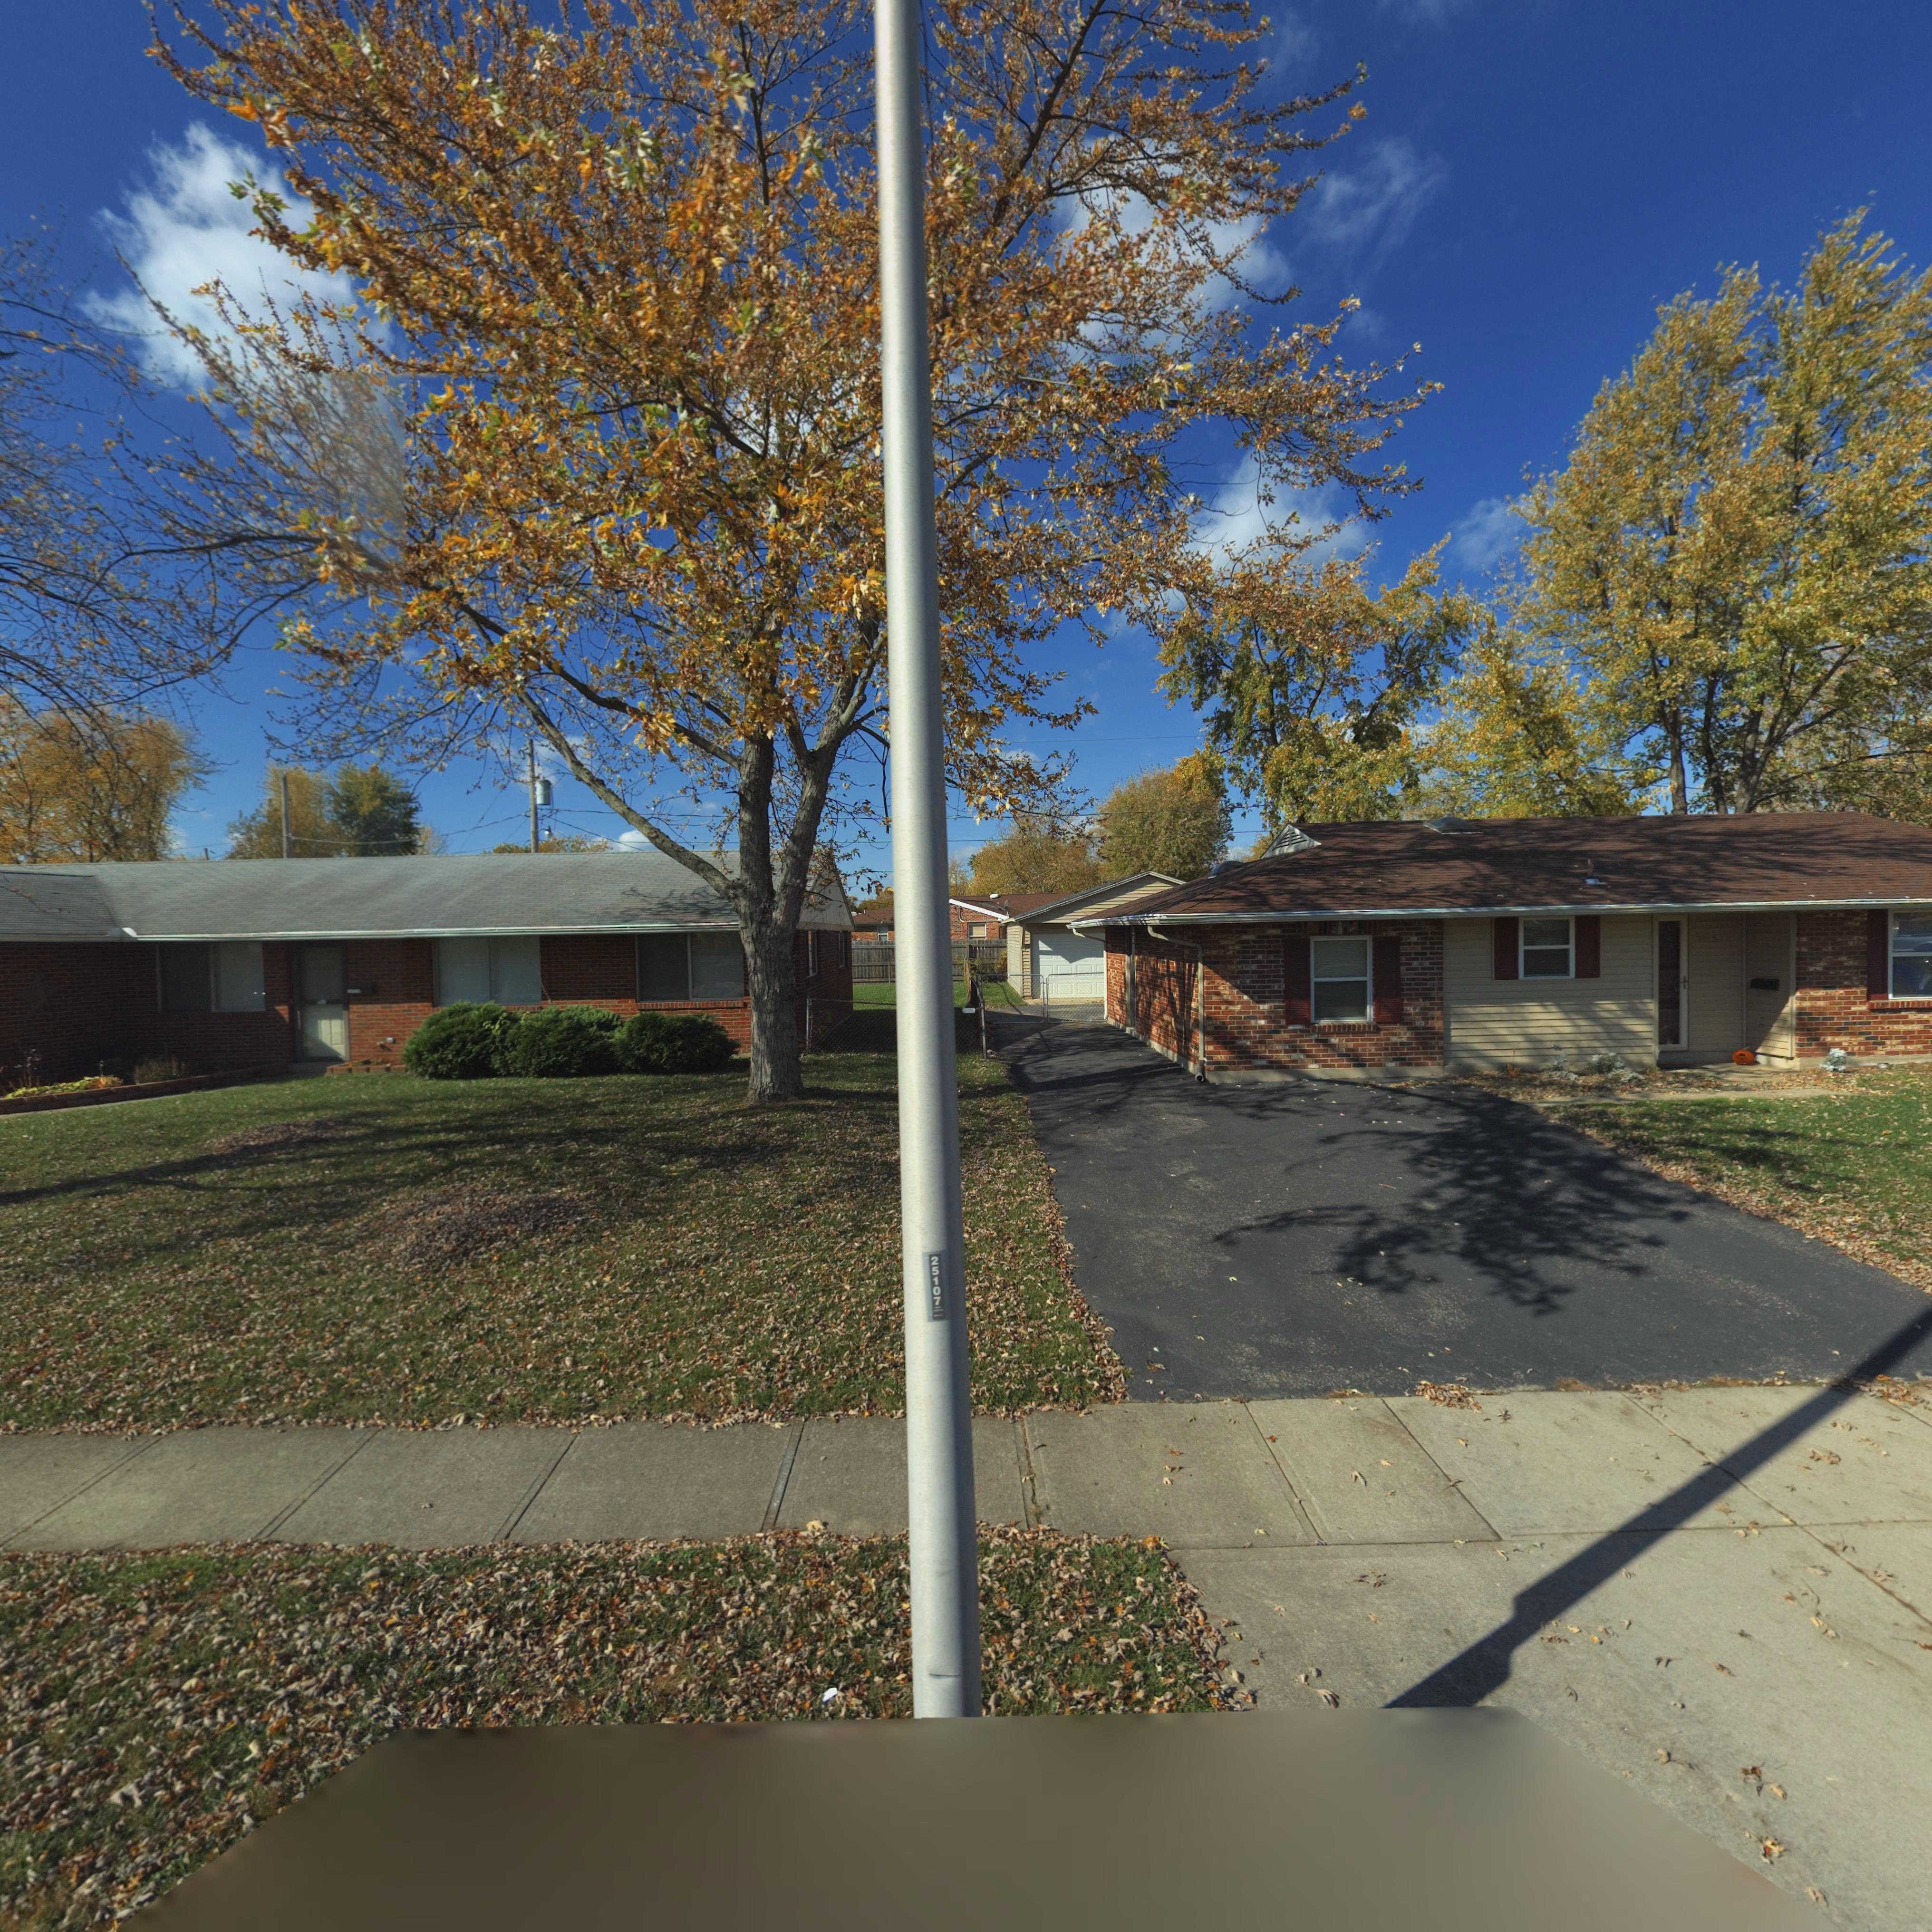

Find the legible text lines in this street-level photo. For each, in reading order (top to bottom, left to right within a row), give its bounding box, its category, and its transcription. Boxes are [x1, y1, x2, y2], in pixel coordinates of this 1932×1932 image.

[1696, 934, 1718, 944] StreetNumber: 7***